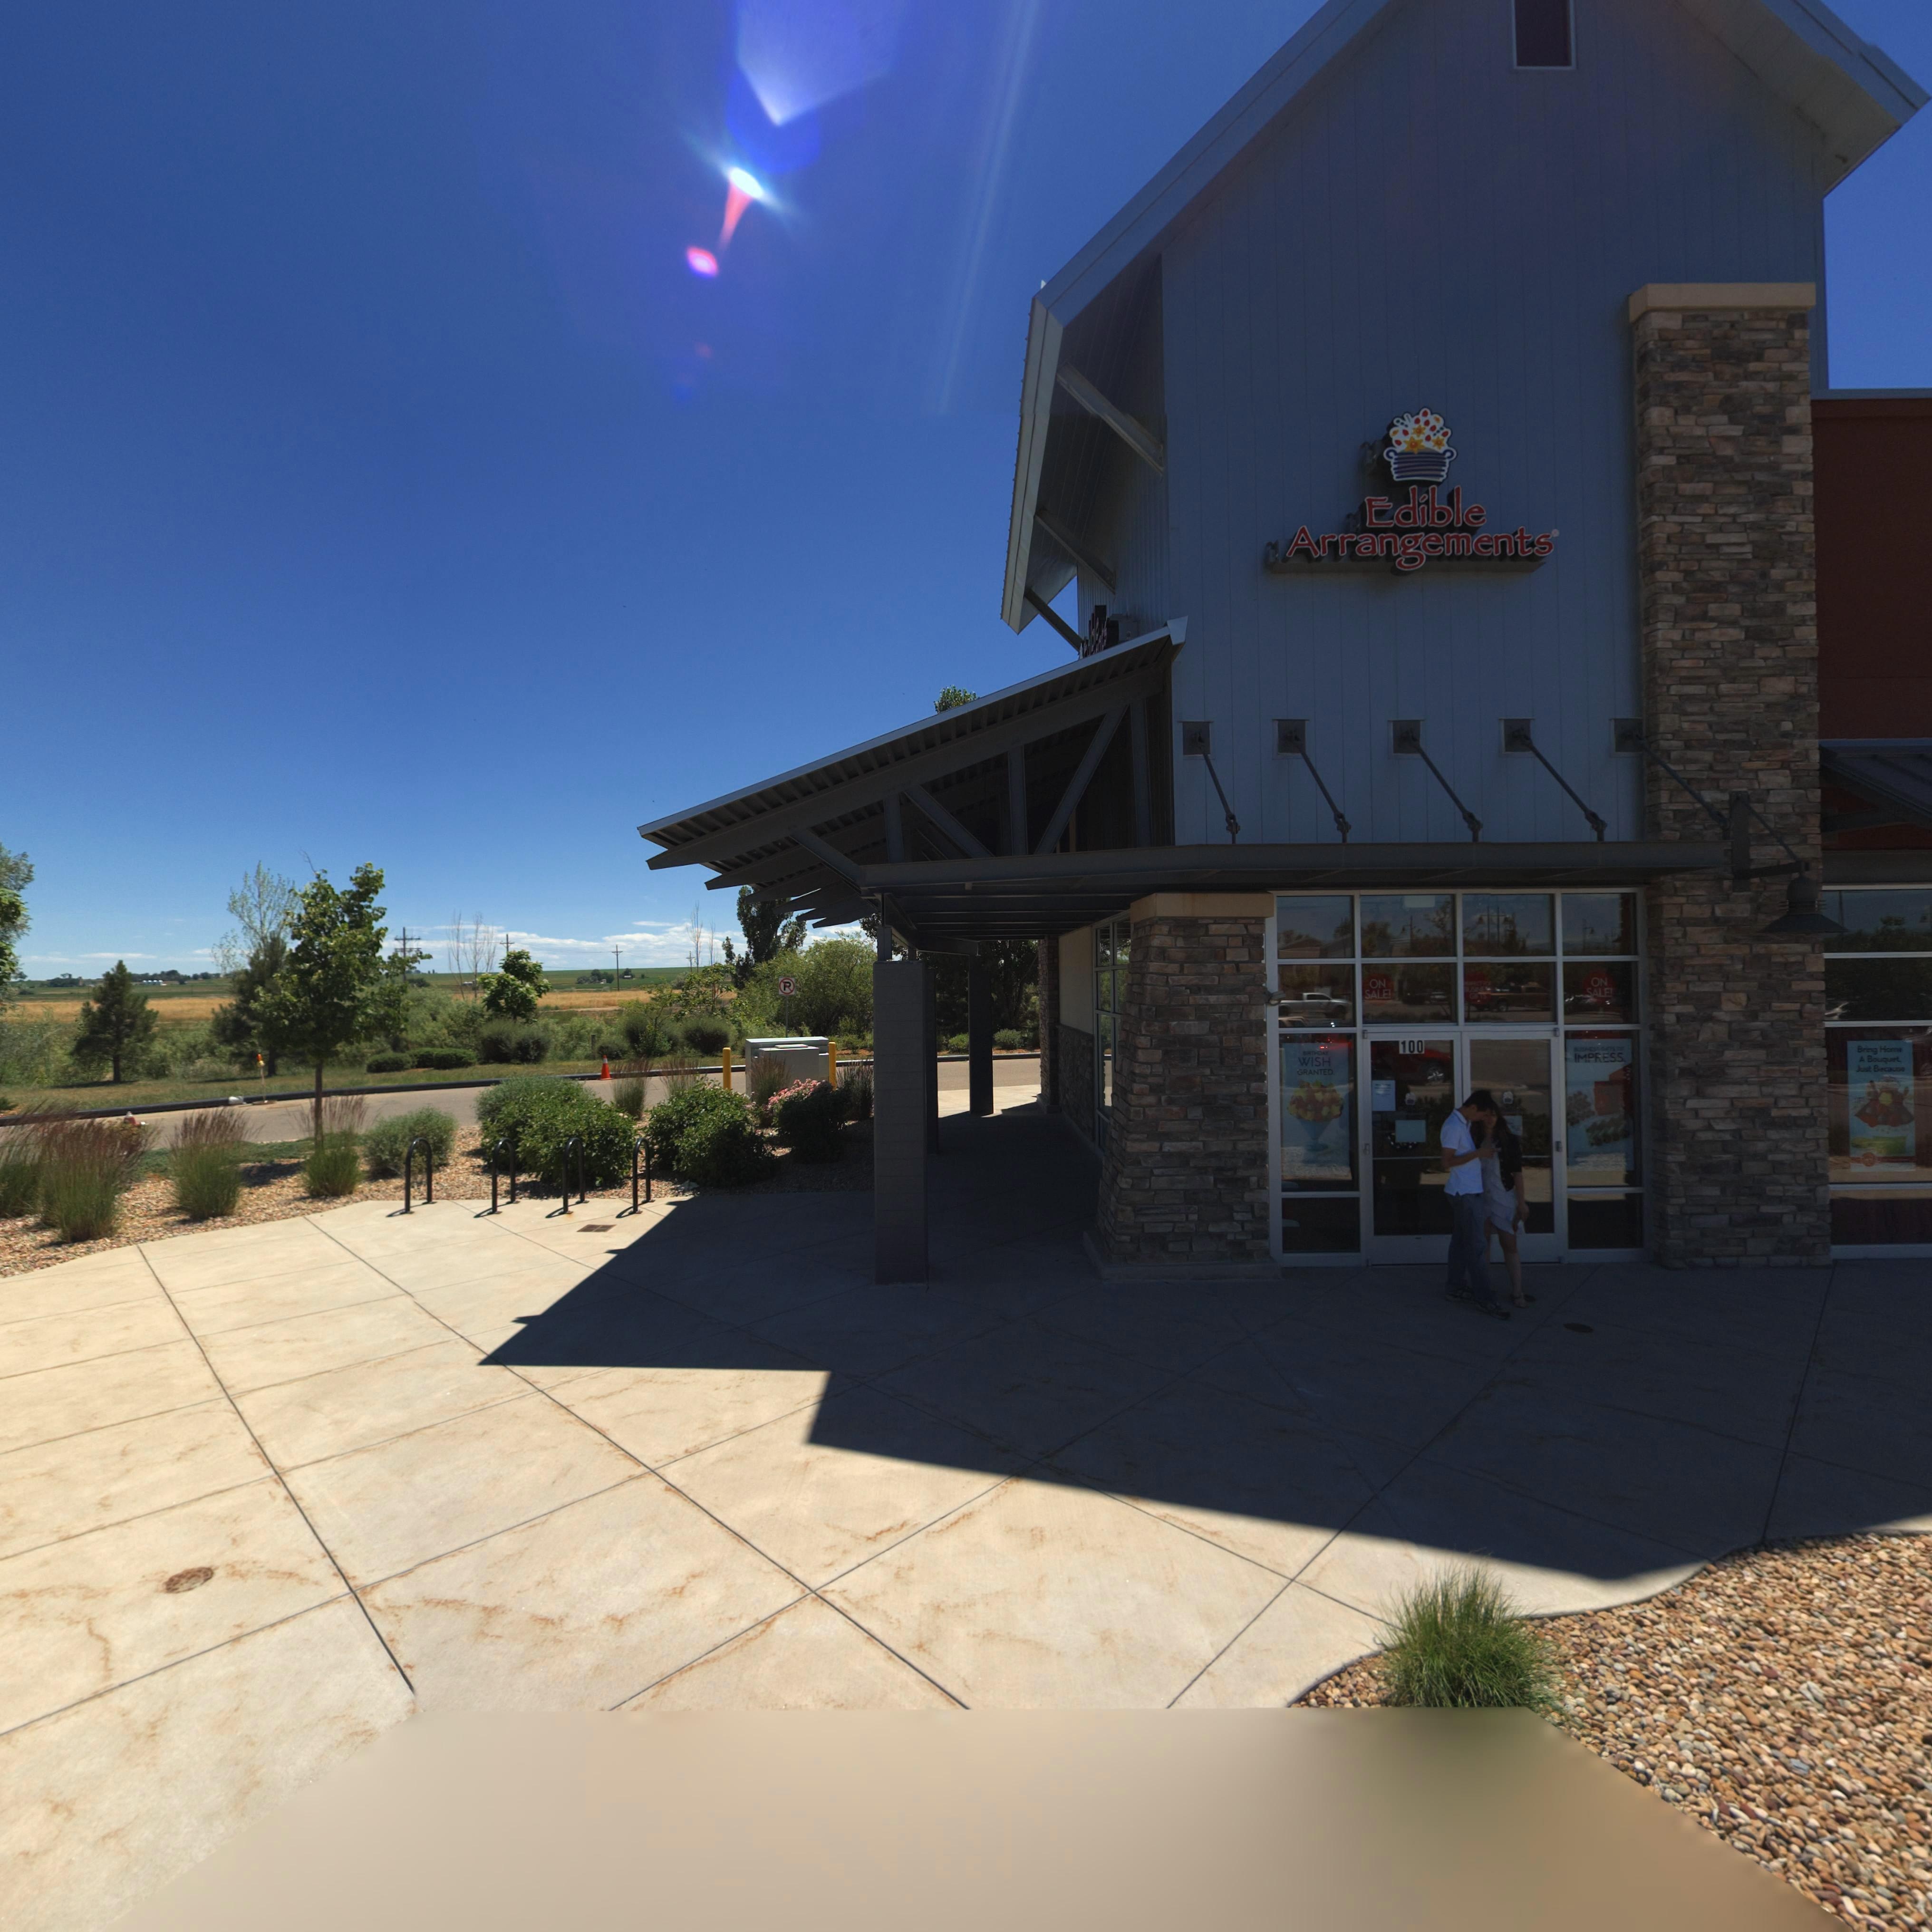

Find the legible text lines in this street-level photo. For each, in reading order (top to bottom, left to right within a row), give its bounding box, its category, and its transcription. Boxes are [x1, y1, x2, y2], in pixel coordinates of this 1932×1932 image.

[1363, 484, 1488, 529] BusinessName: Edible
[1285, 524, 1555, 571] BusinessName: Arrangements
[1083, 604, 1100, 658] BusinessName: Edible
[1097, 620, 1108, 653] BusinessName: nts
[1400, 1039, 1423, 1053] SecondaryUnitDesignator: 100